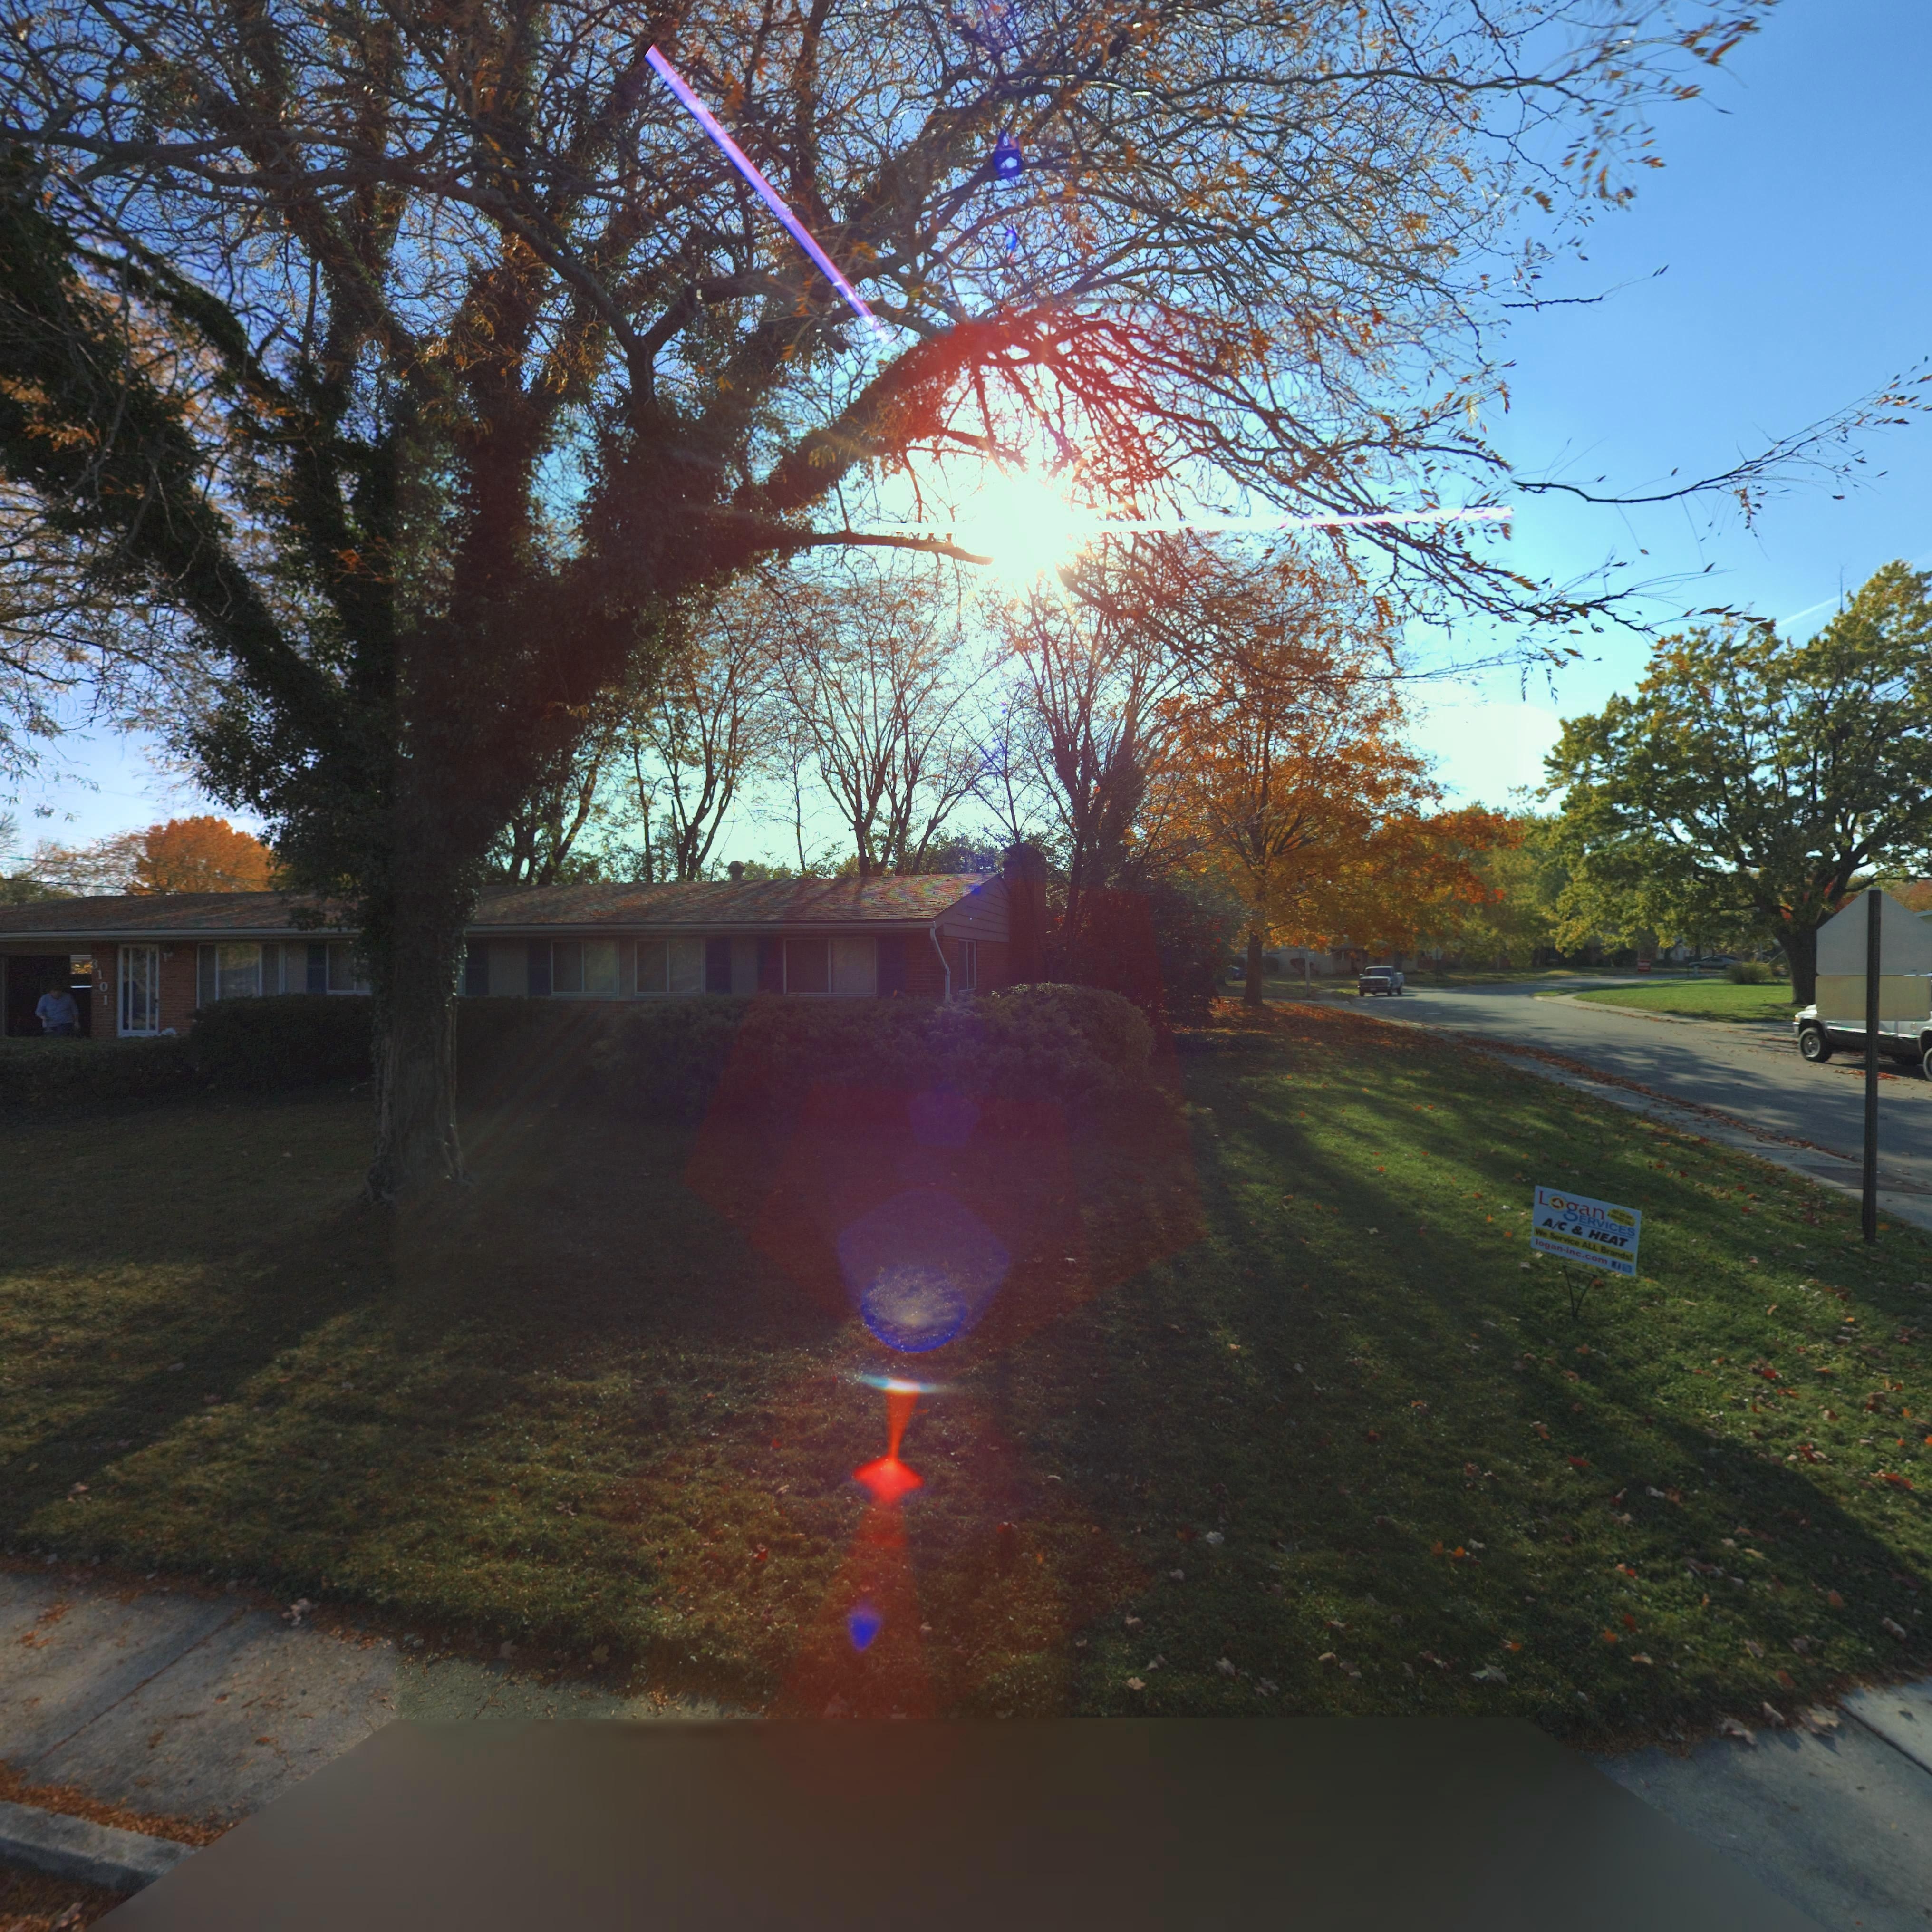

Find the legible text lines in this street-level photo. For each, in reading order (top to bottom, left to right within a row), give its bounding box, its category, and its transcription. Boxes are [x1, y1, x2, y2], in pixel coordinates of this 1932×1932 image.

[92, 958, 108, 1005] StreetNumber: 3101